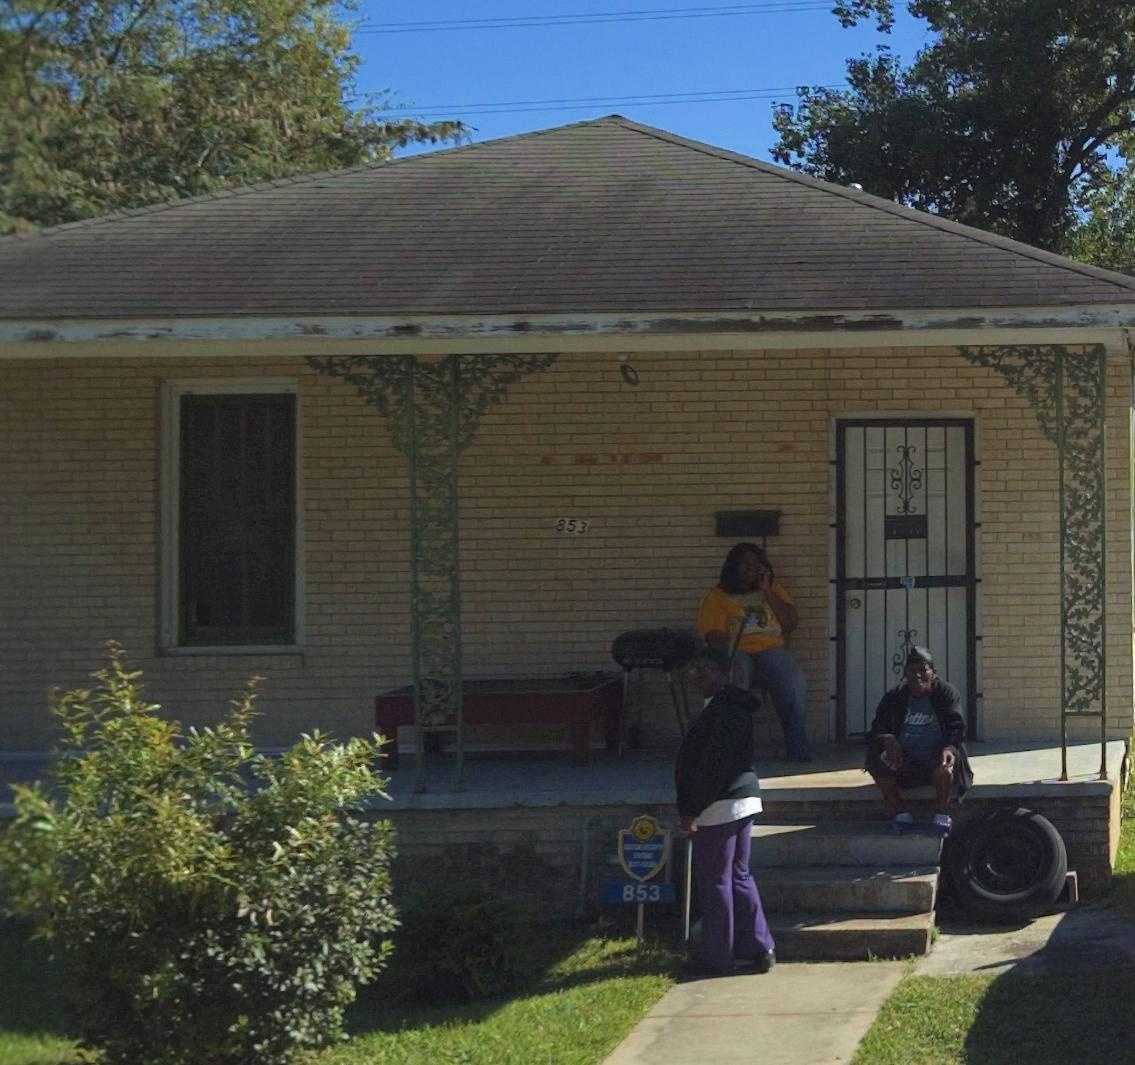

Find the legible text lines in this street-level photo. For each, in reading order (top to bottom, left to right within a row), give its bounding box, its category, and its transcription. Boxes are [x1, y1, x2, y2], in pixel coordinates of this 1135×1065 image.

[552, 516, 591, 537] StreetNumber: 853
[619, 882, 663, 904] StreetNumber: 853